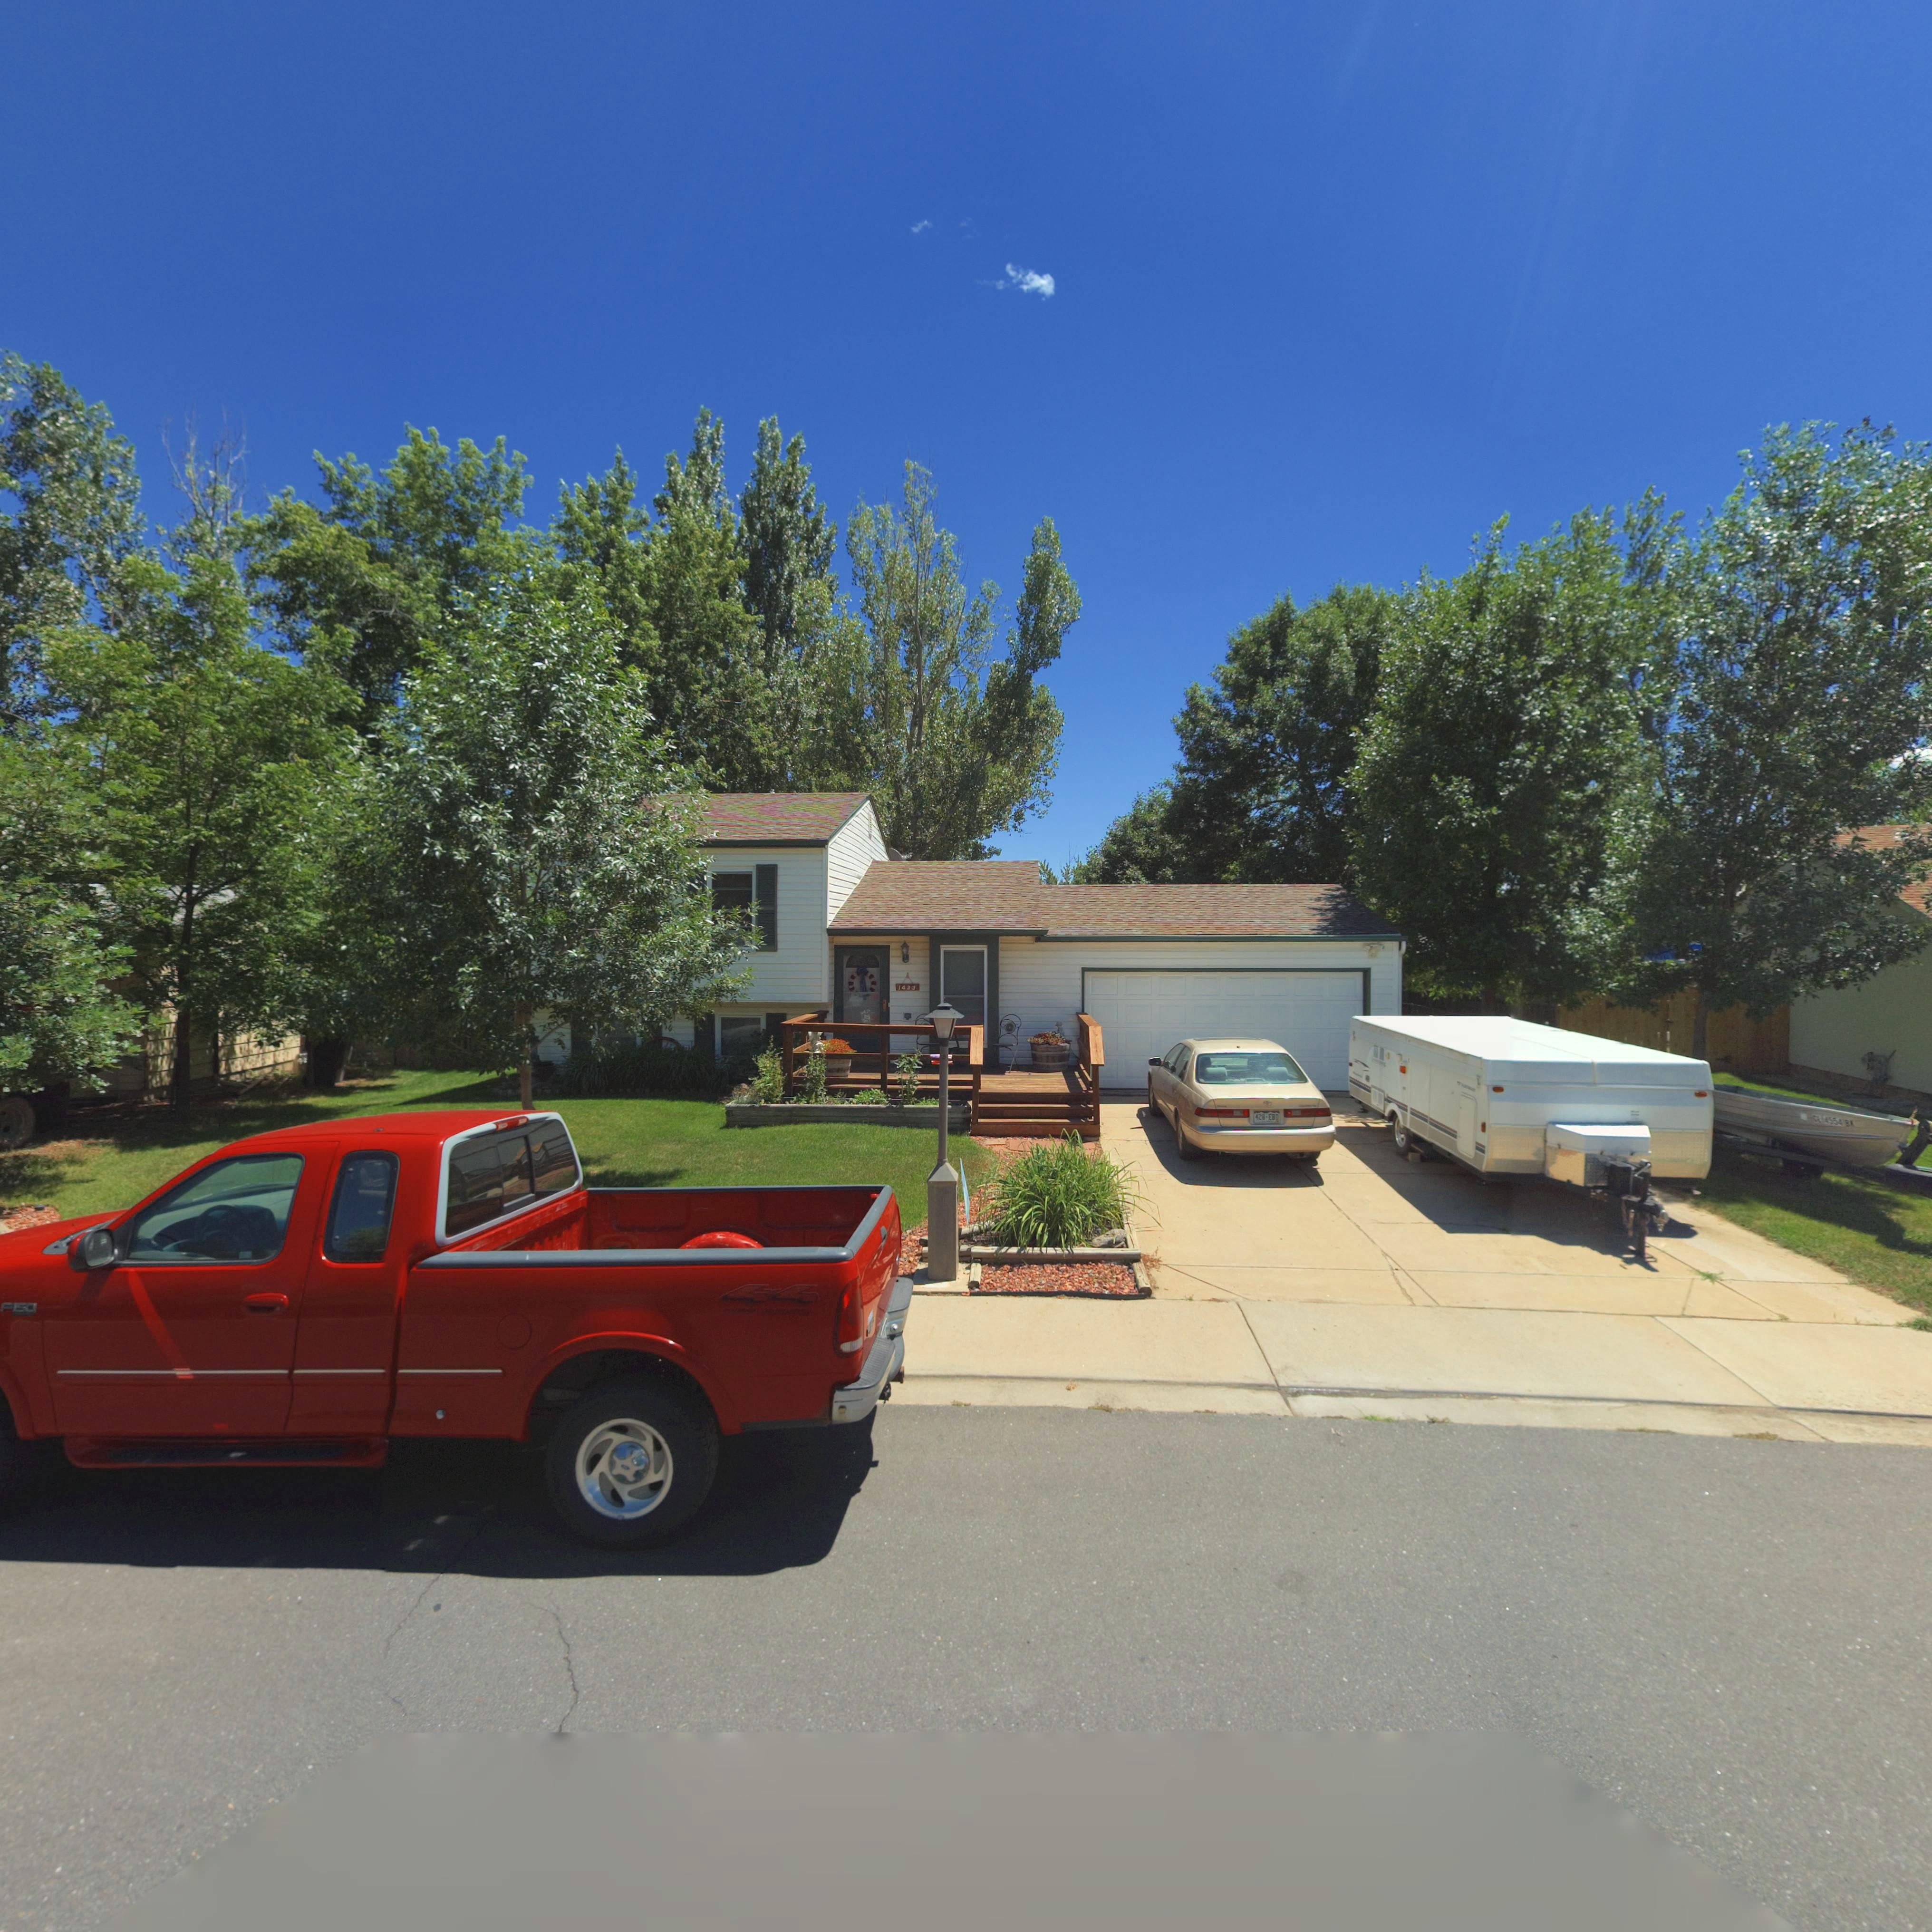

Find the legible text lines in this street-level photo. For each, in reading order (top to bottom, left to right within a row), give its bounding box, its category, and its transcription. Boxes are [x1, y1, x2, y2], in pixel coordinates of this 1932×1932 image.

[898, 985, 916, 990] StreetNumber: 1433